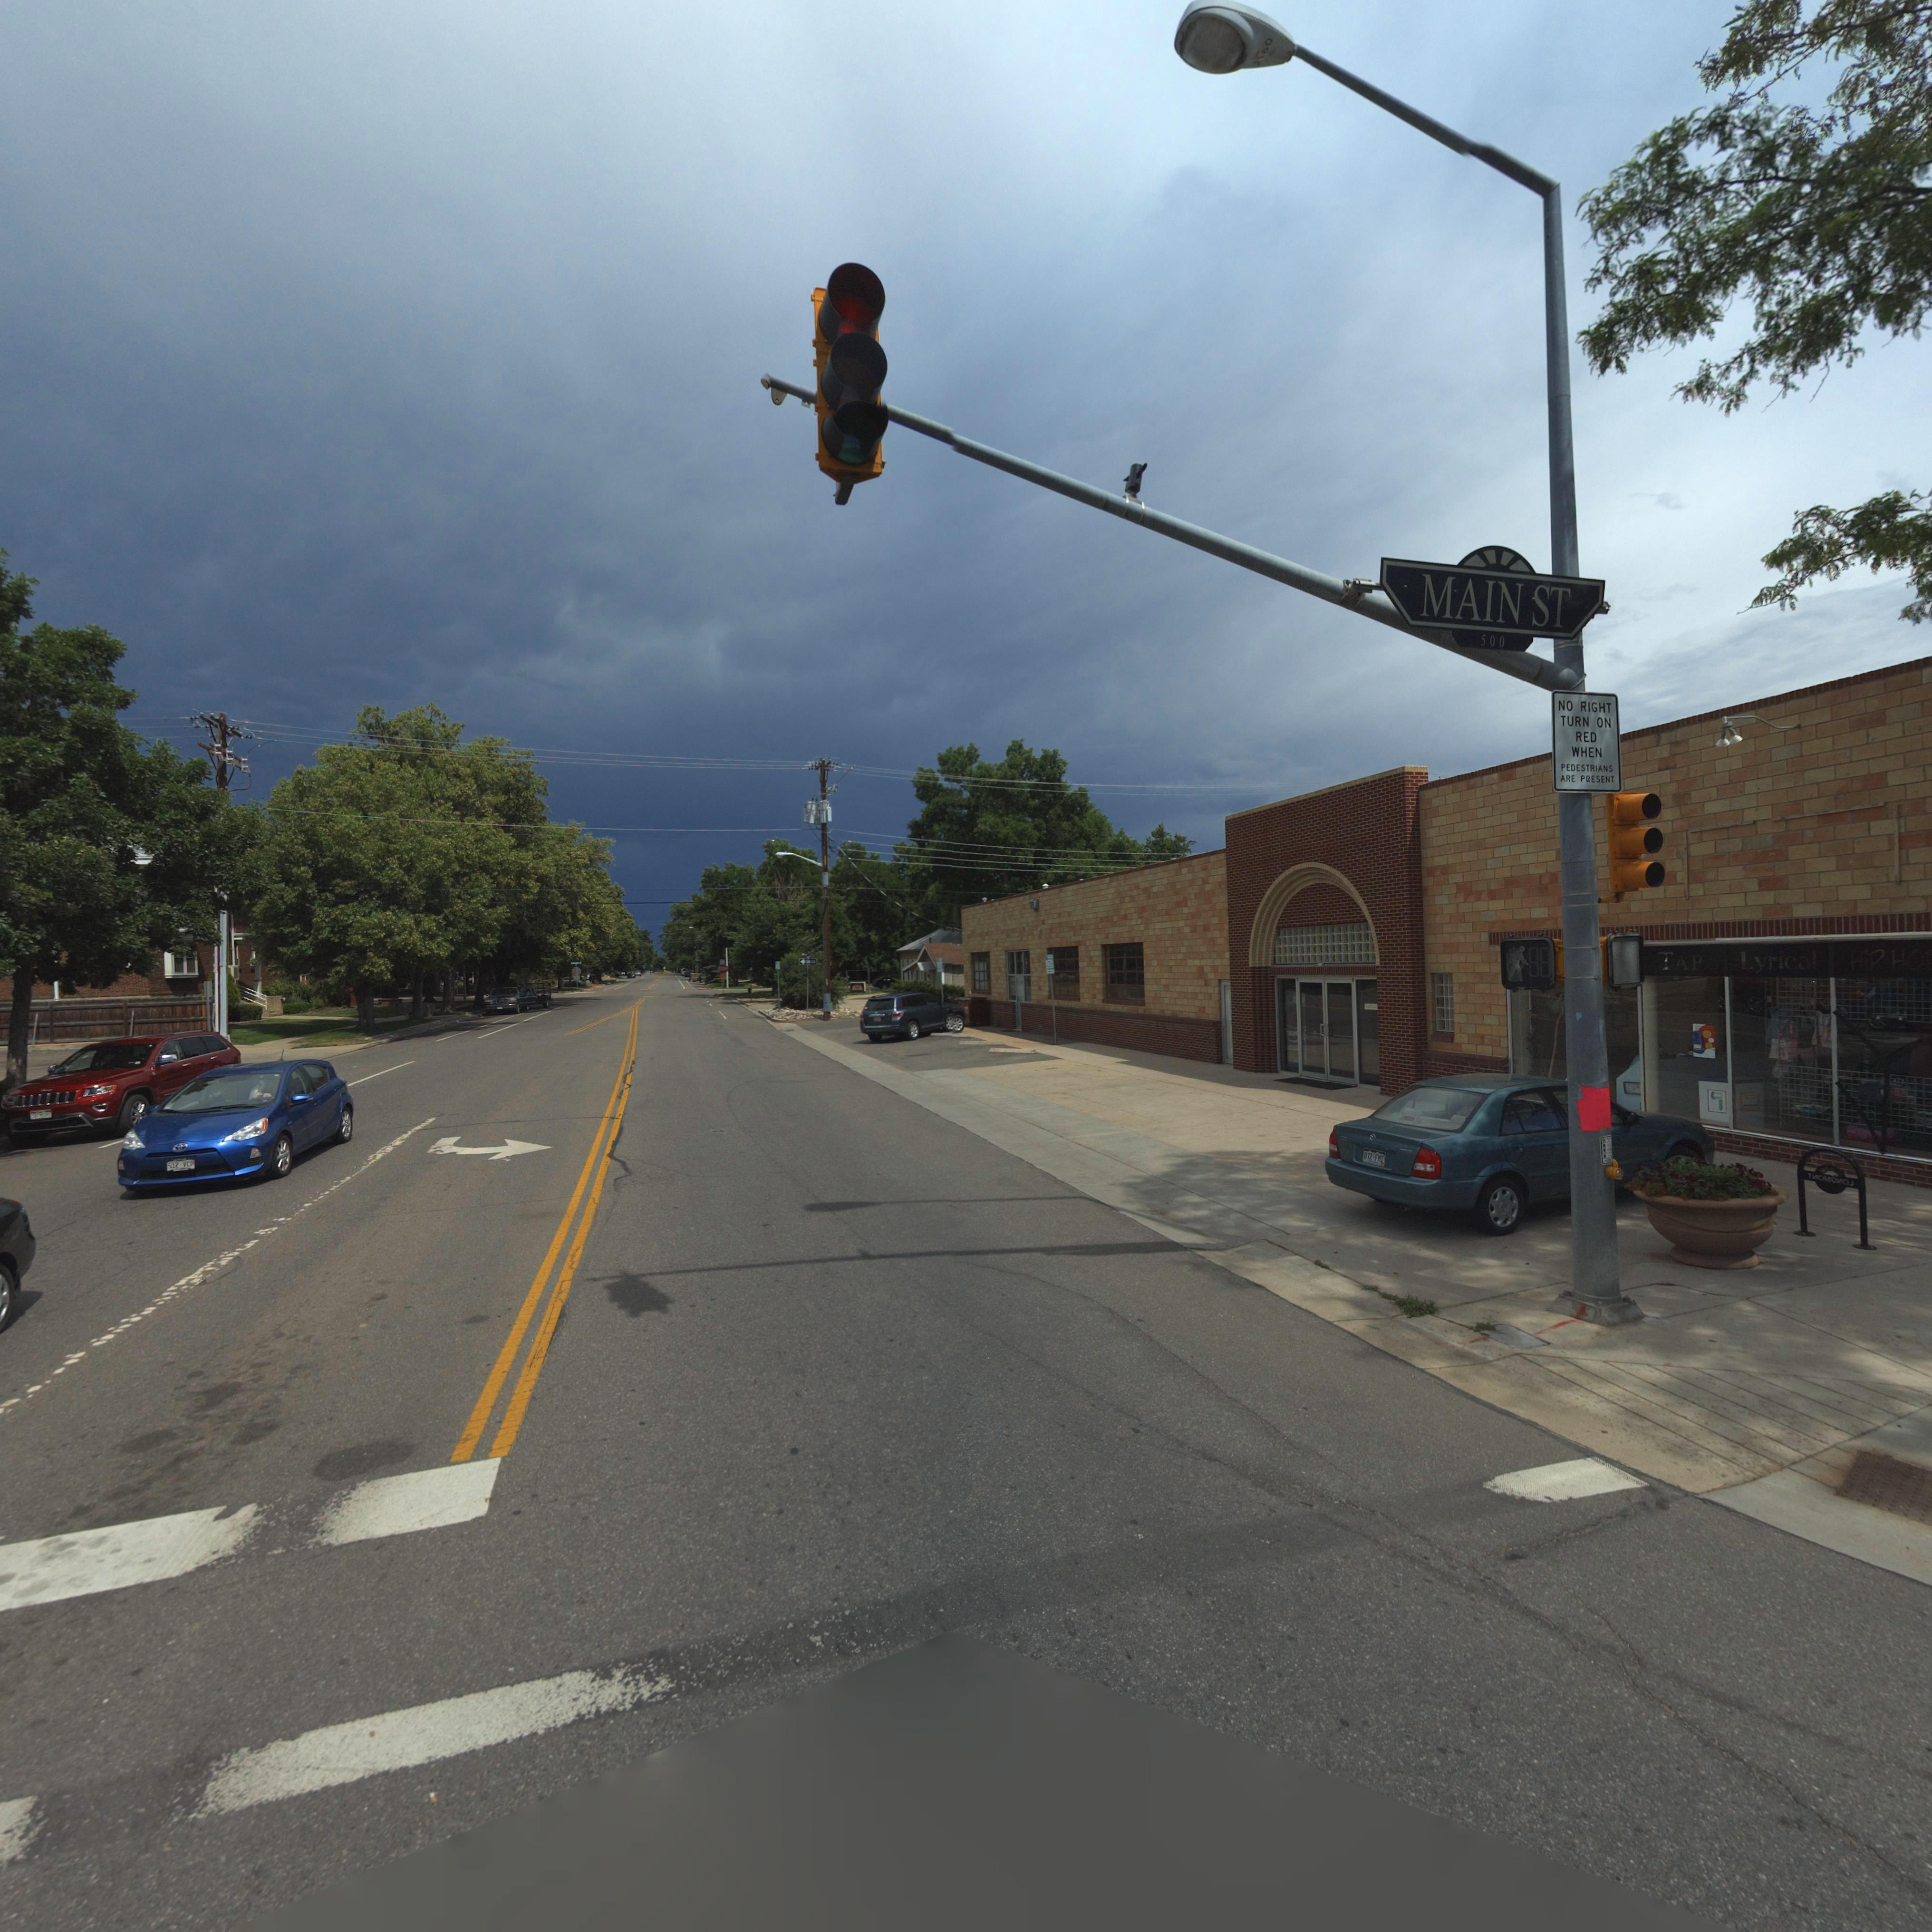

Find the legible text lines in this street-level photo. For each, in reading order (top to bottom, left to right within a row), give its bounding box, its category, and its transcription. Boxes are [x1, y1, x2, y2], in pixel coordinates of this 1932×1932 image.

[1419, 573, 1572, 629] StreetName: MAIN ST
[1479, 633, 1505, 647] StreetNumberRange: 500